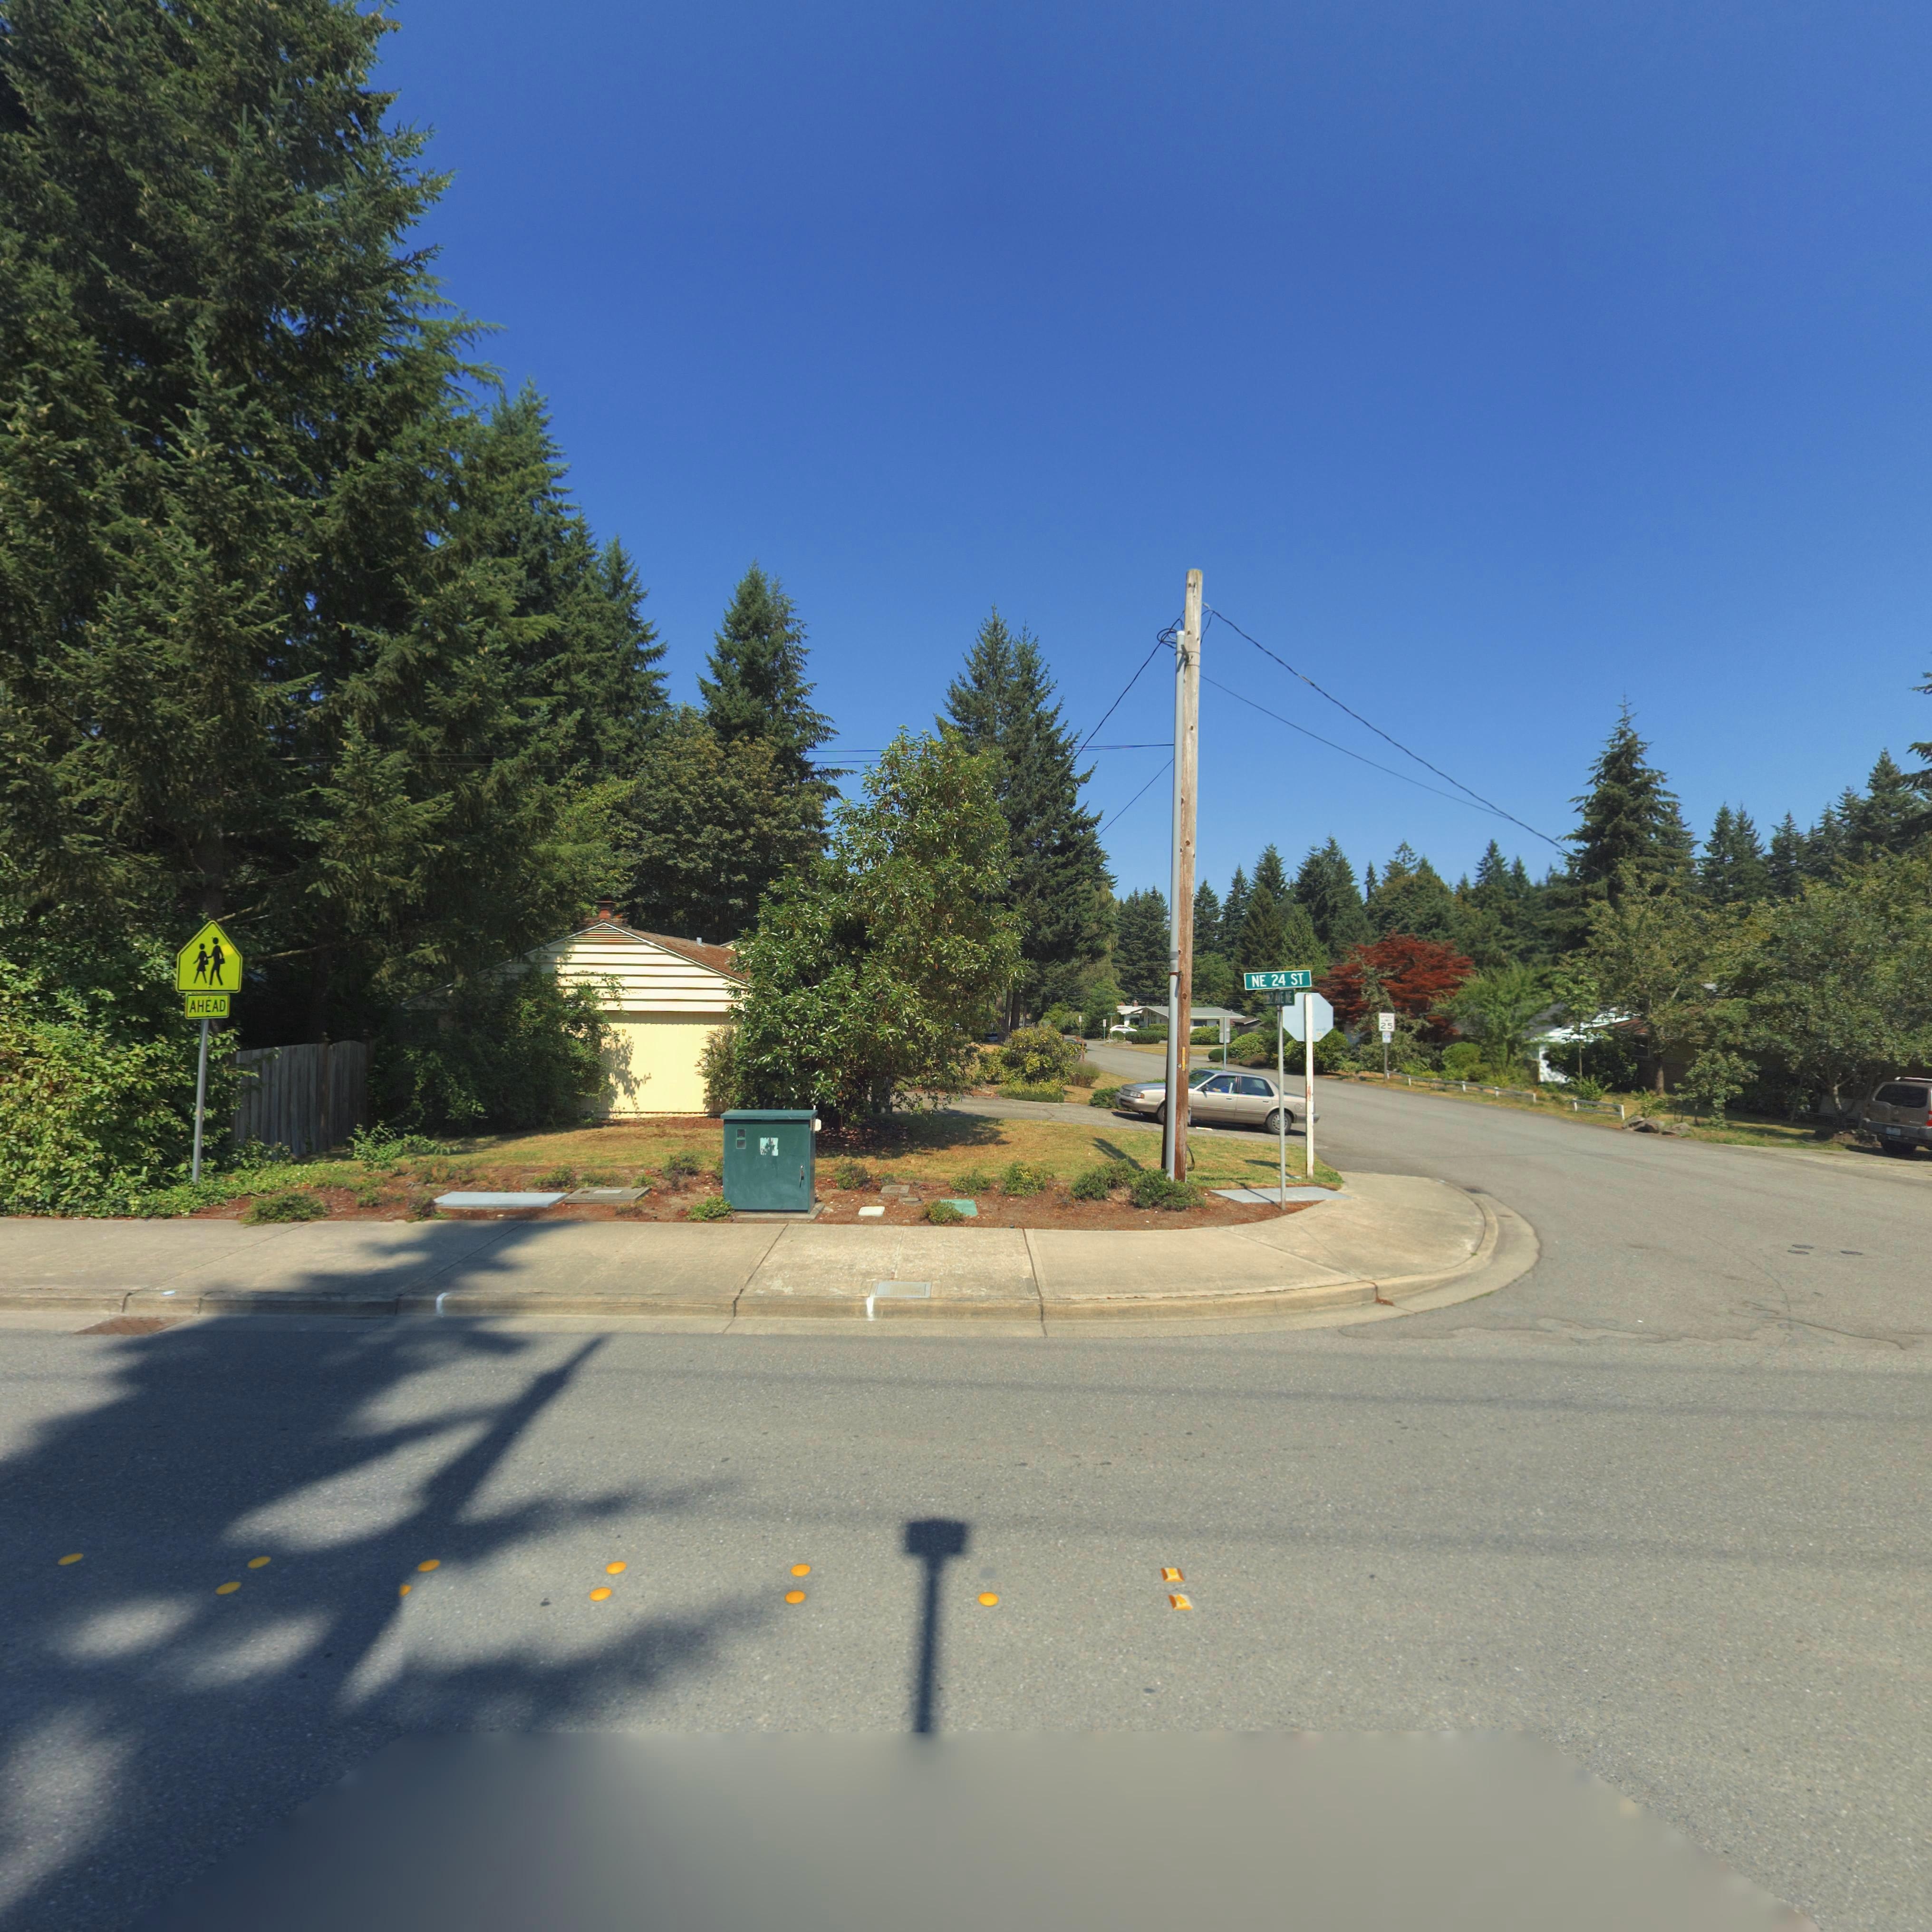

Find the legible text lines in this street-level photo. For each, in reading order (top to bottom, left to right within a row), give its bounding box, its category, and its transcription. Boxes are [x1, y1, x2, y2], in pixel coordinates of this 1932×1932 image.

[1251, 973, 1304, 987] None: NE 24 ST
[1269, 991, 1293, 1003] StreetName: * AVE *E